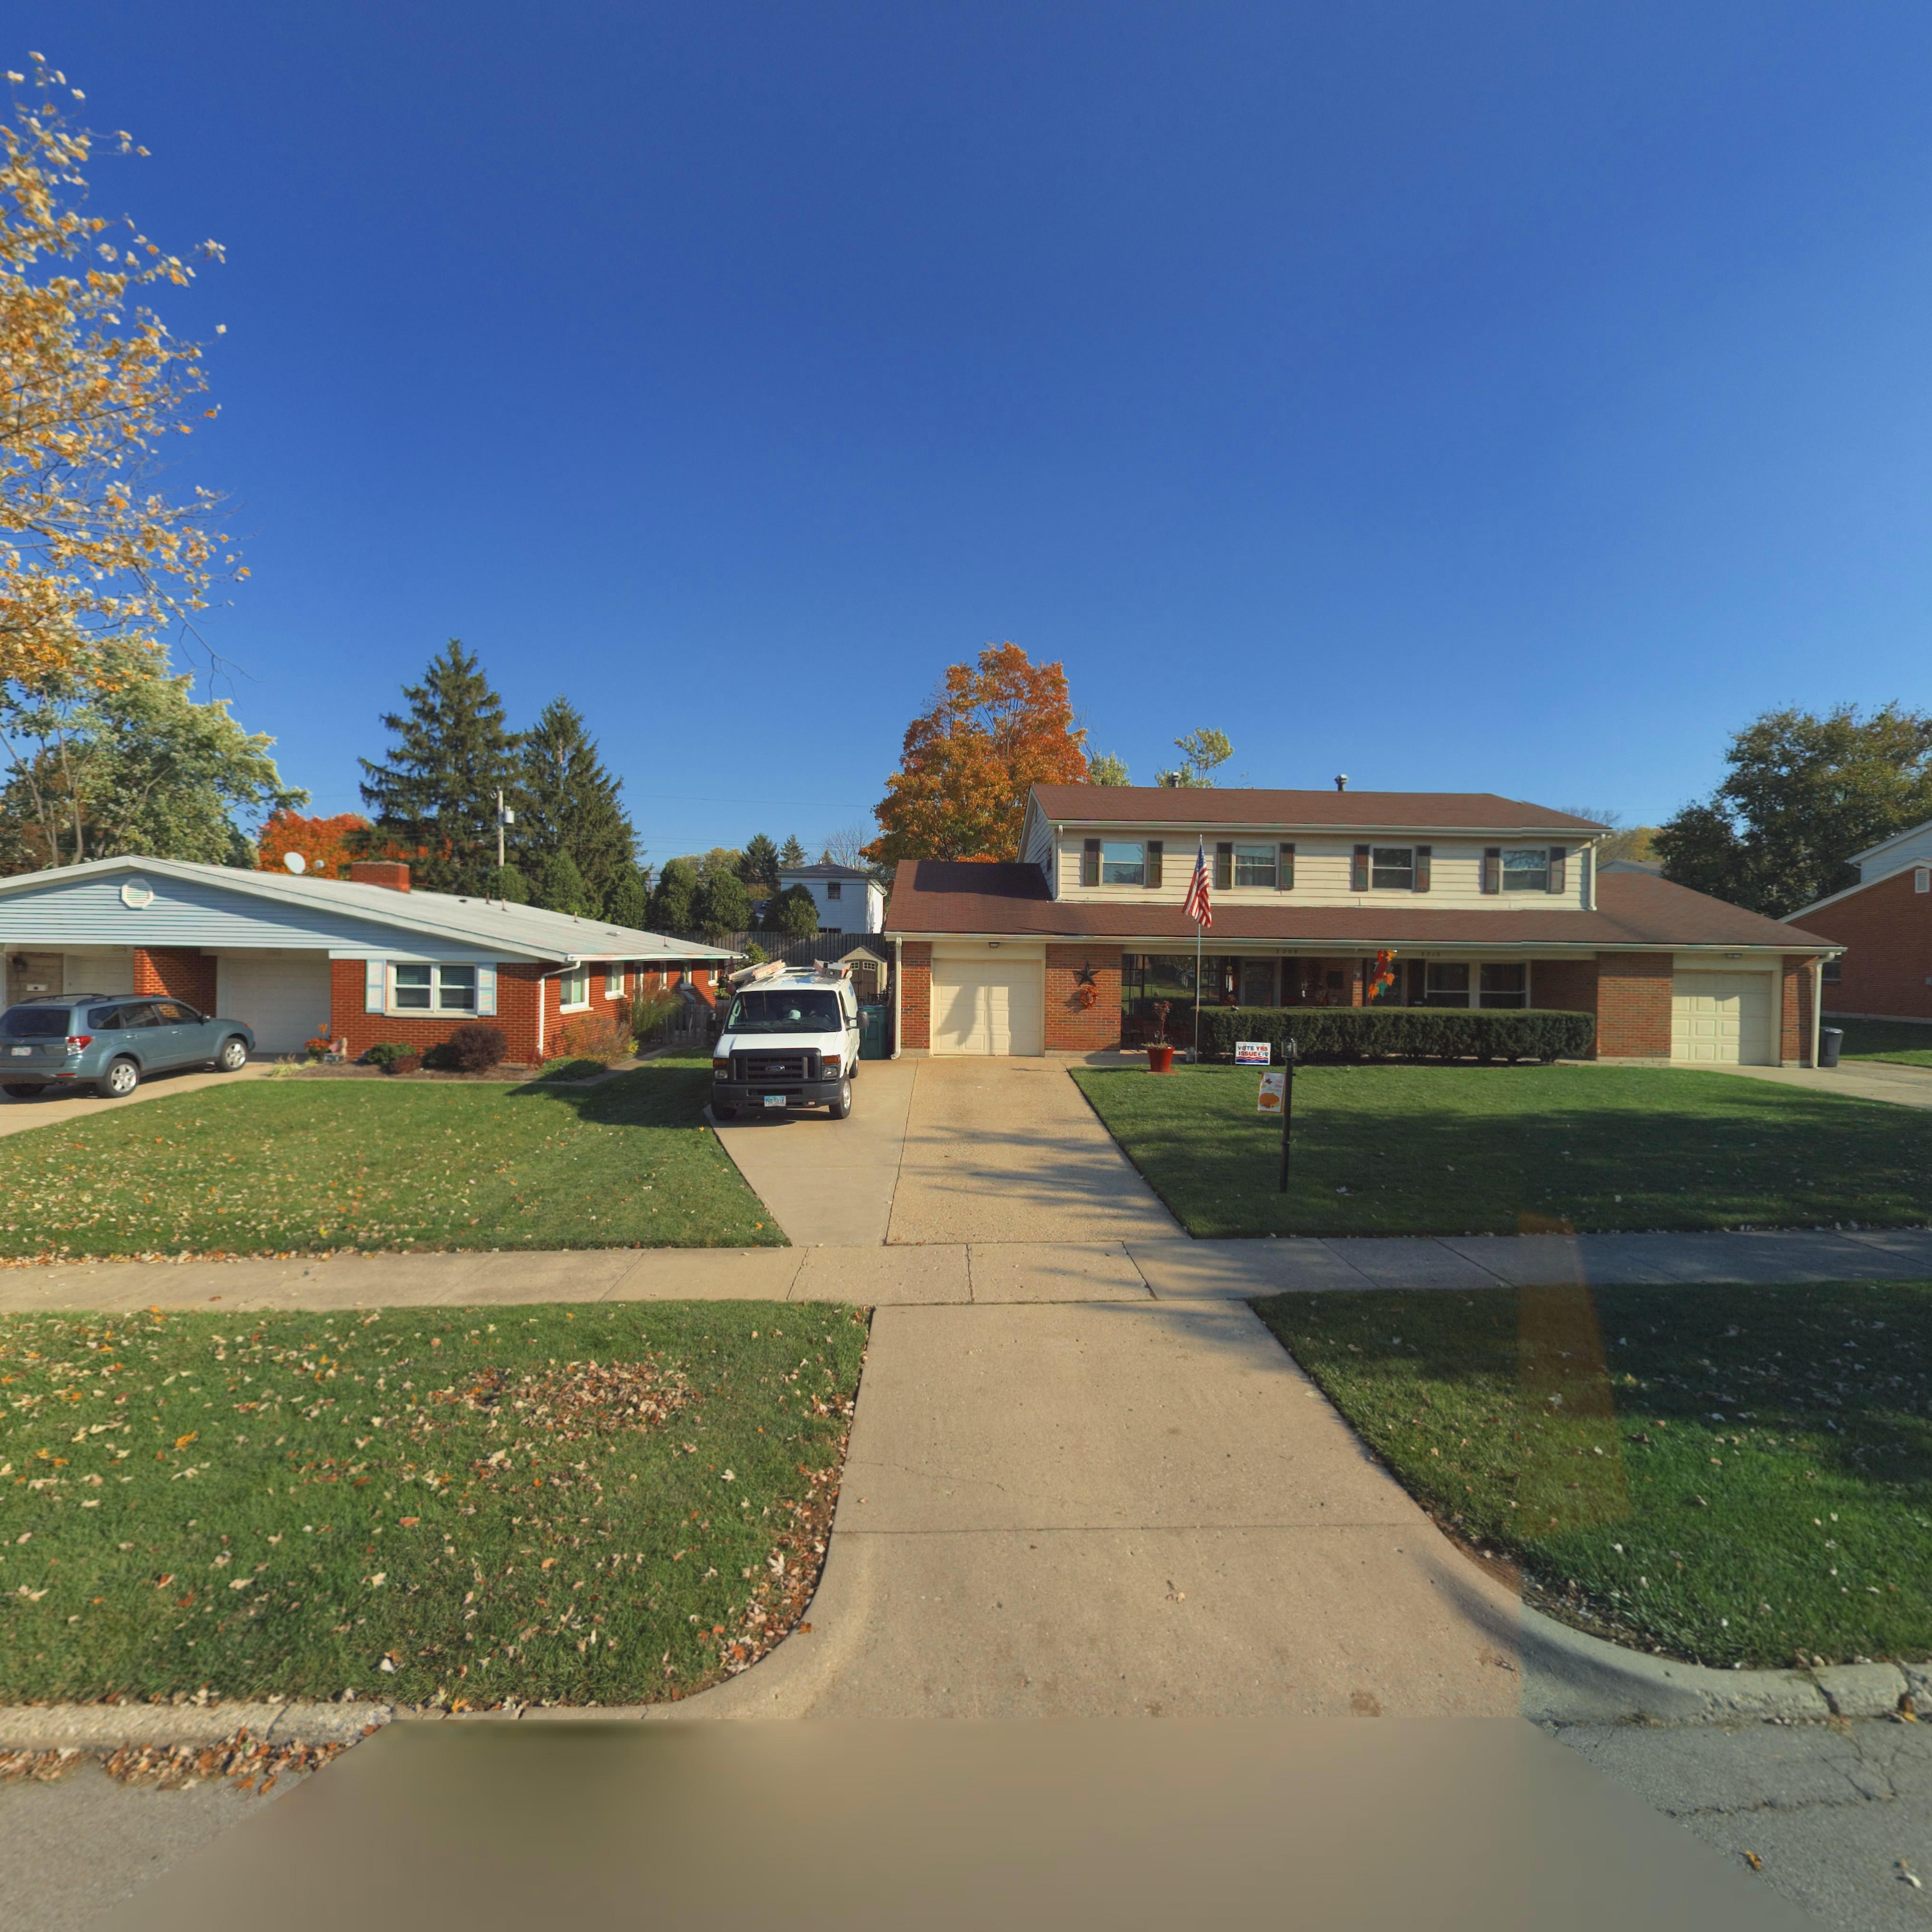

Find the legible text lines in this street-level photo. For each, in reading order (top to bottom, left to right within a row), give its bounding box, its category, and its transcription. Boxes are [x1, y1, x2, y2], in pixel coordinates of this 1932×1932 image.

[1275, 947, 1298, 954] StreetNumber: 3208
[1420, 951, 1442, 957] StreetNumber: 3210